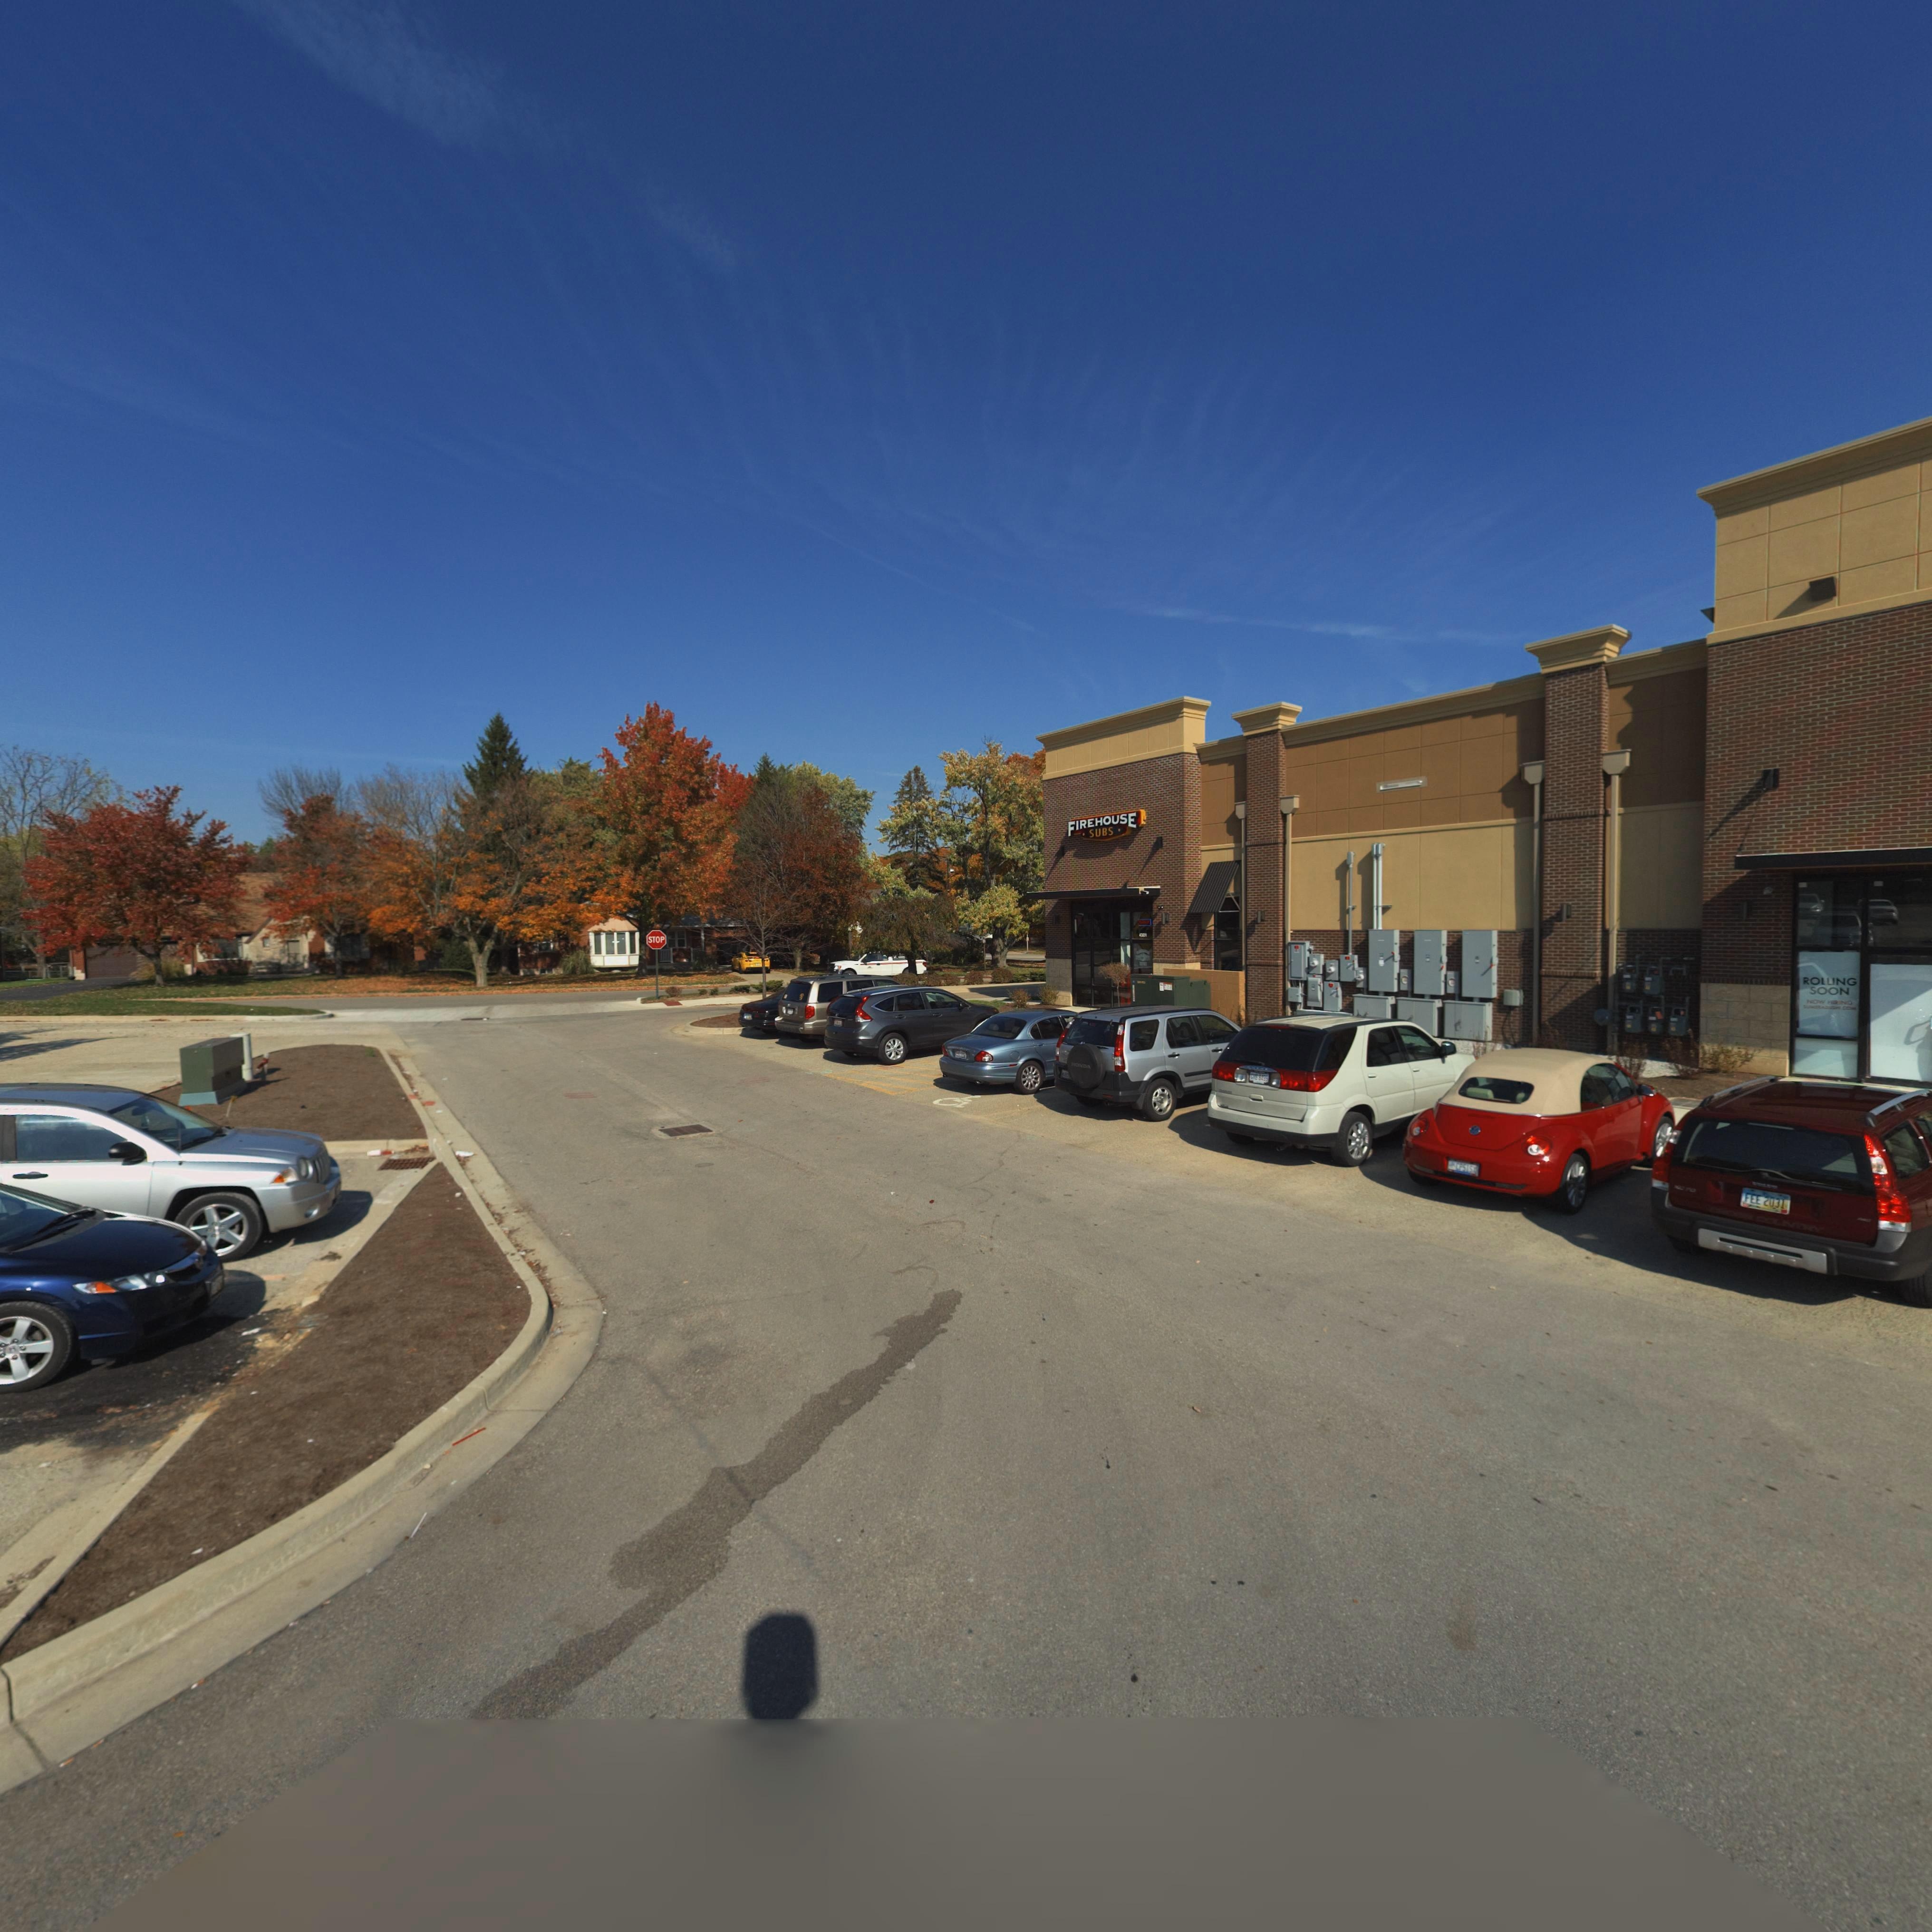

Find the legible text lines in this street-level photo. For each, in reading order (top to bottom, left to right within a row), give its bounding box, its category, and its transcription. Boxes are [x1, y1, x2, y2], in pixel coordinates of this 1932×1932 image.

[1067, 811, 1138, 838] BusinessName: FIREHOUSE
[1088, 825, 1115, 839] BusinessName: SUBS
[647, 935, 666, 944] None: STOP